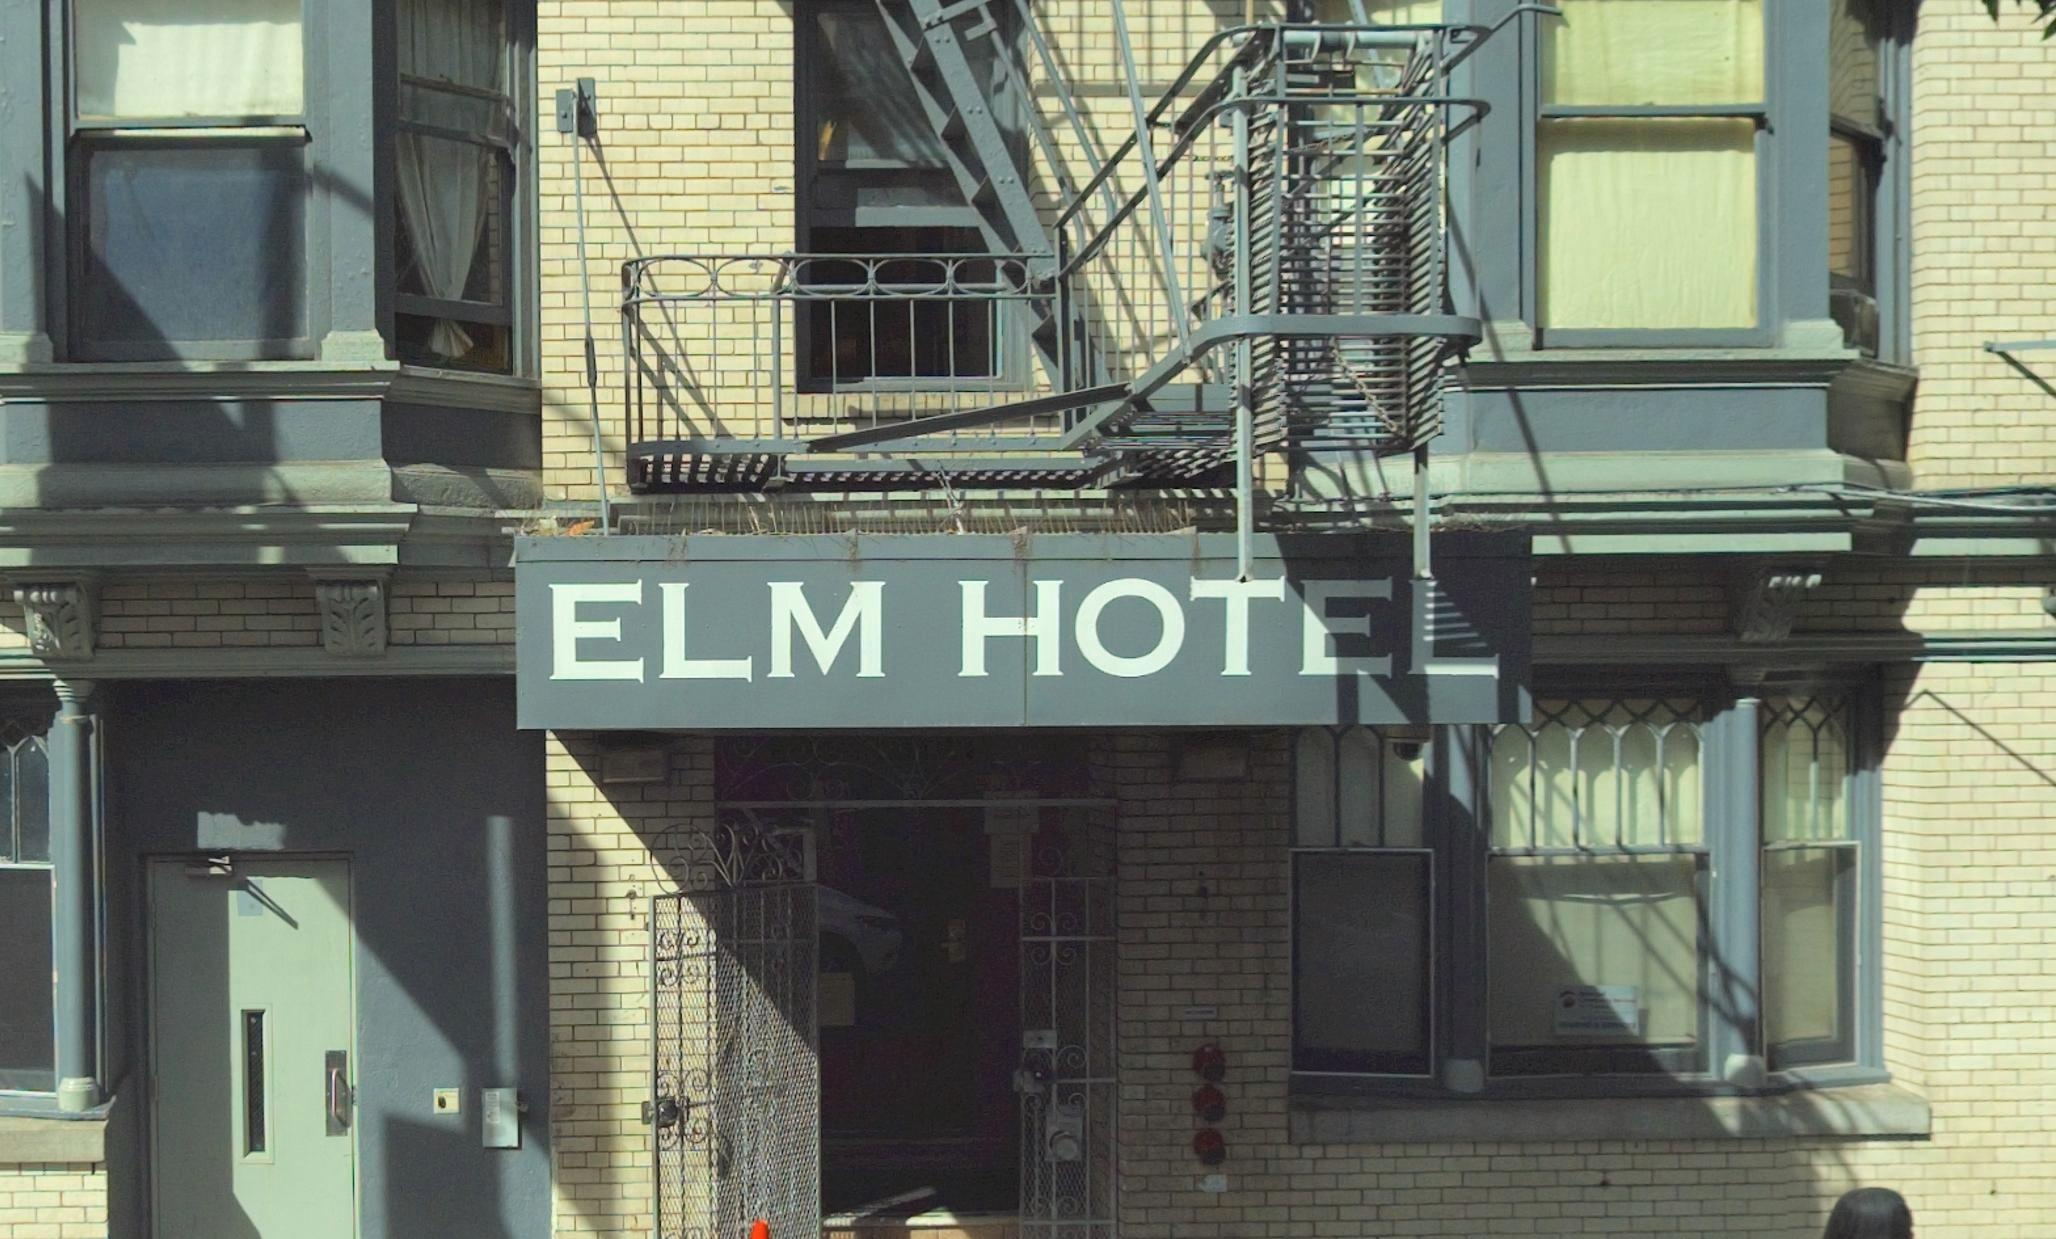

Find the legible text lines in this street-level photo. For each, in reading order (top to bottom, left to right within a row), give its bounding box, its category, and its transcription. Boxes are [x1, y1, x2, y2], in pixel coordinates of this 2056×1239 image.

[543, 575, 1505, 685] BusinessName: ELM HOTEL